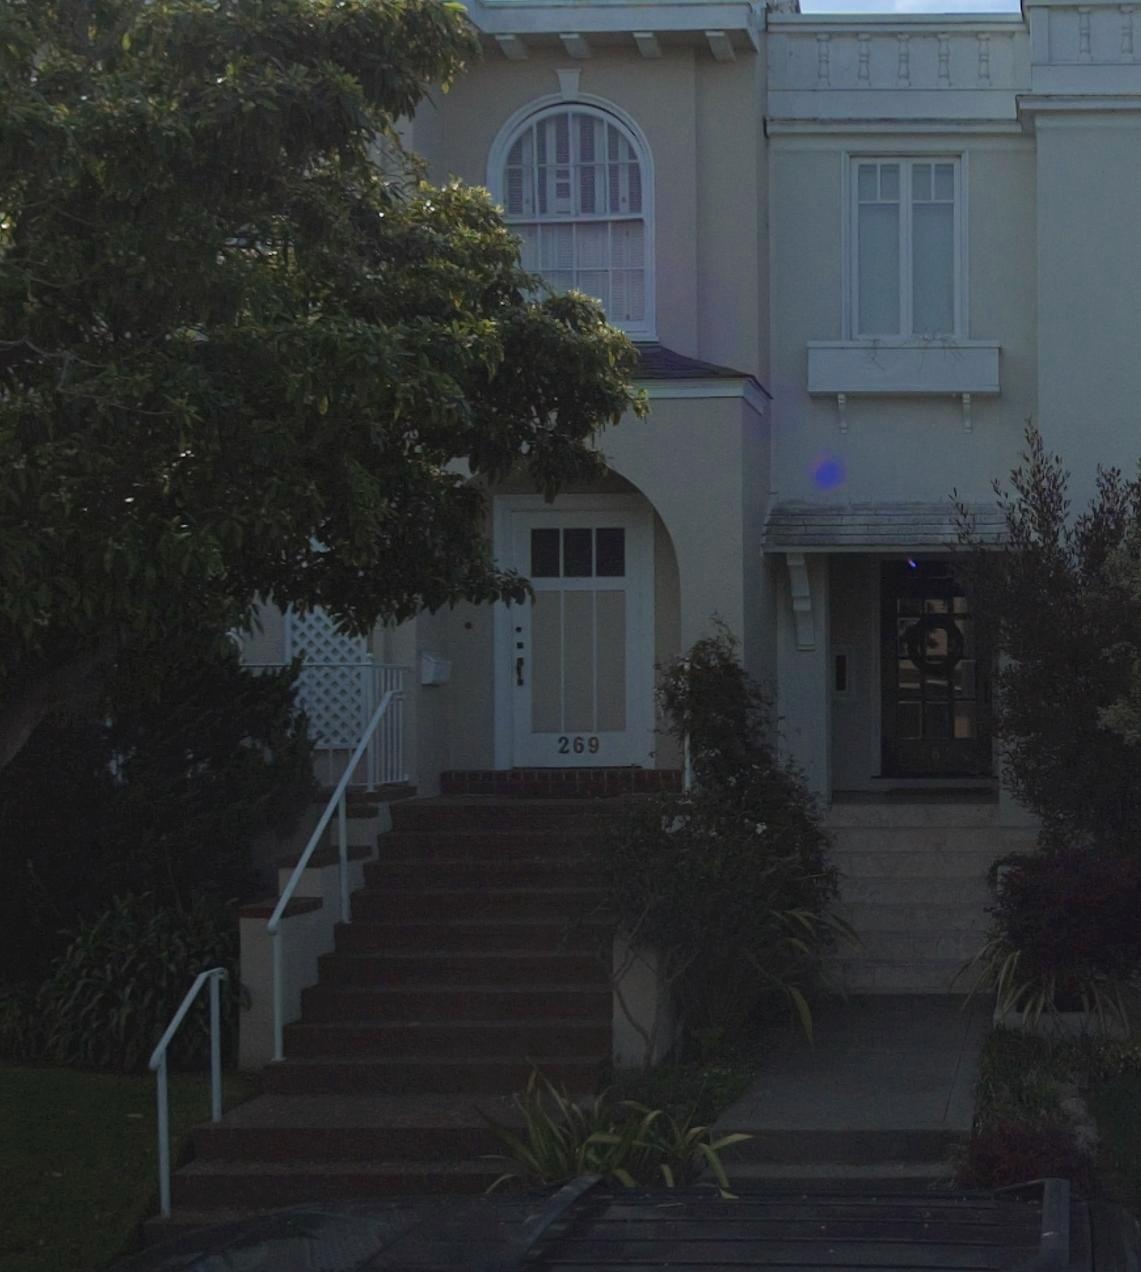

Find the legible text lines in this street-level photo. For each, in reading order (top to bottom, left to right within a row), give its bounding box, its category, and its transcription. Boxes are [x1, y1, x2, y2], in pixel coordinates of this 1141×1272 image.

[556, 734, 601, 756] StreetNumber: 269